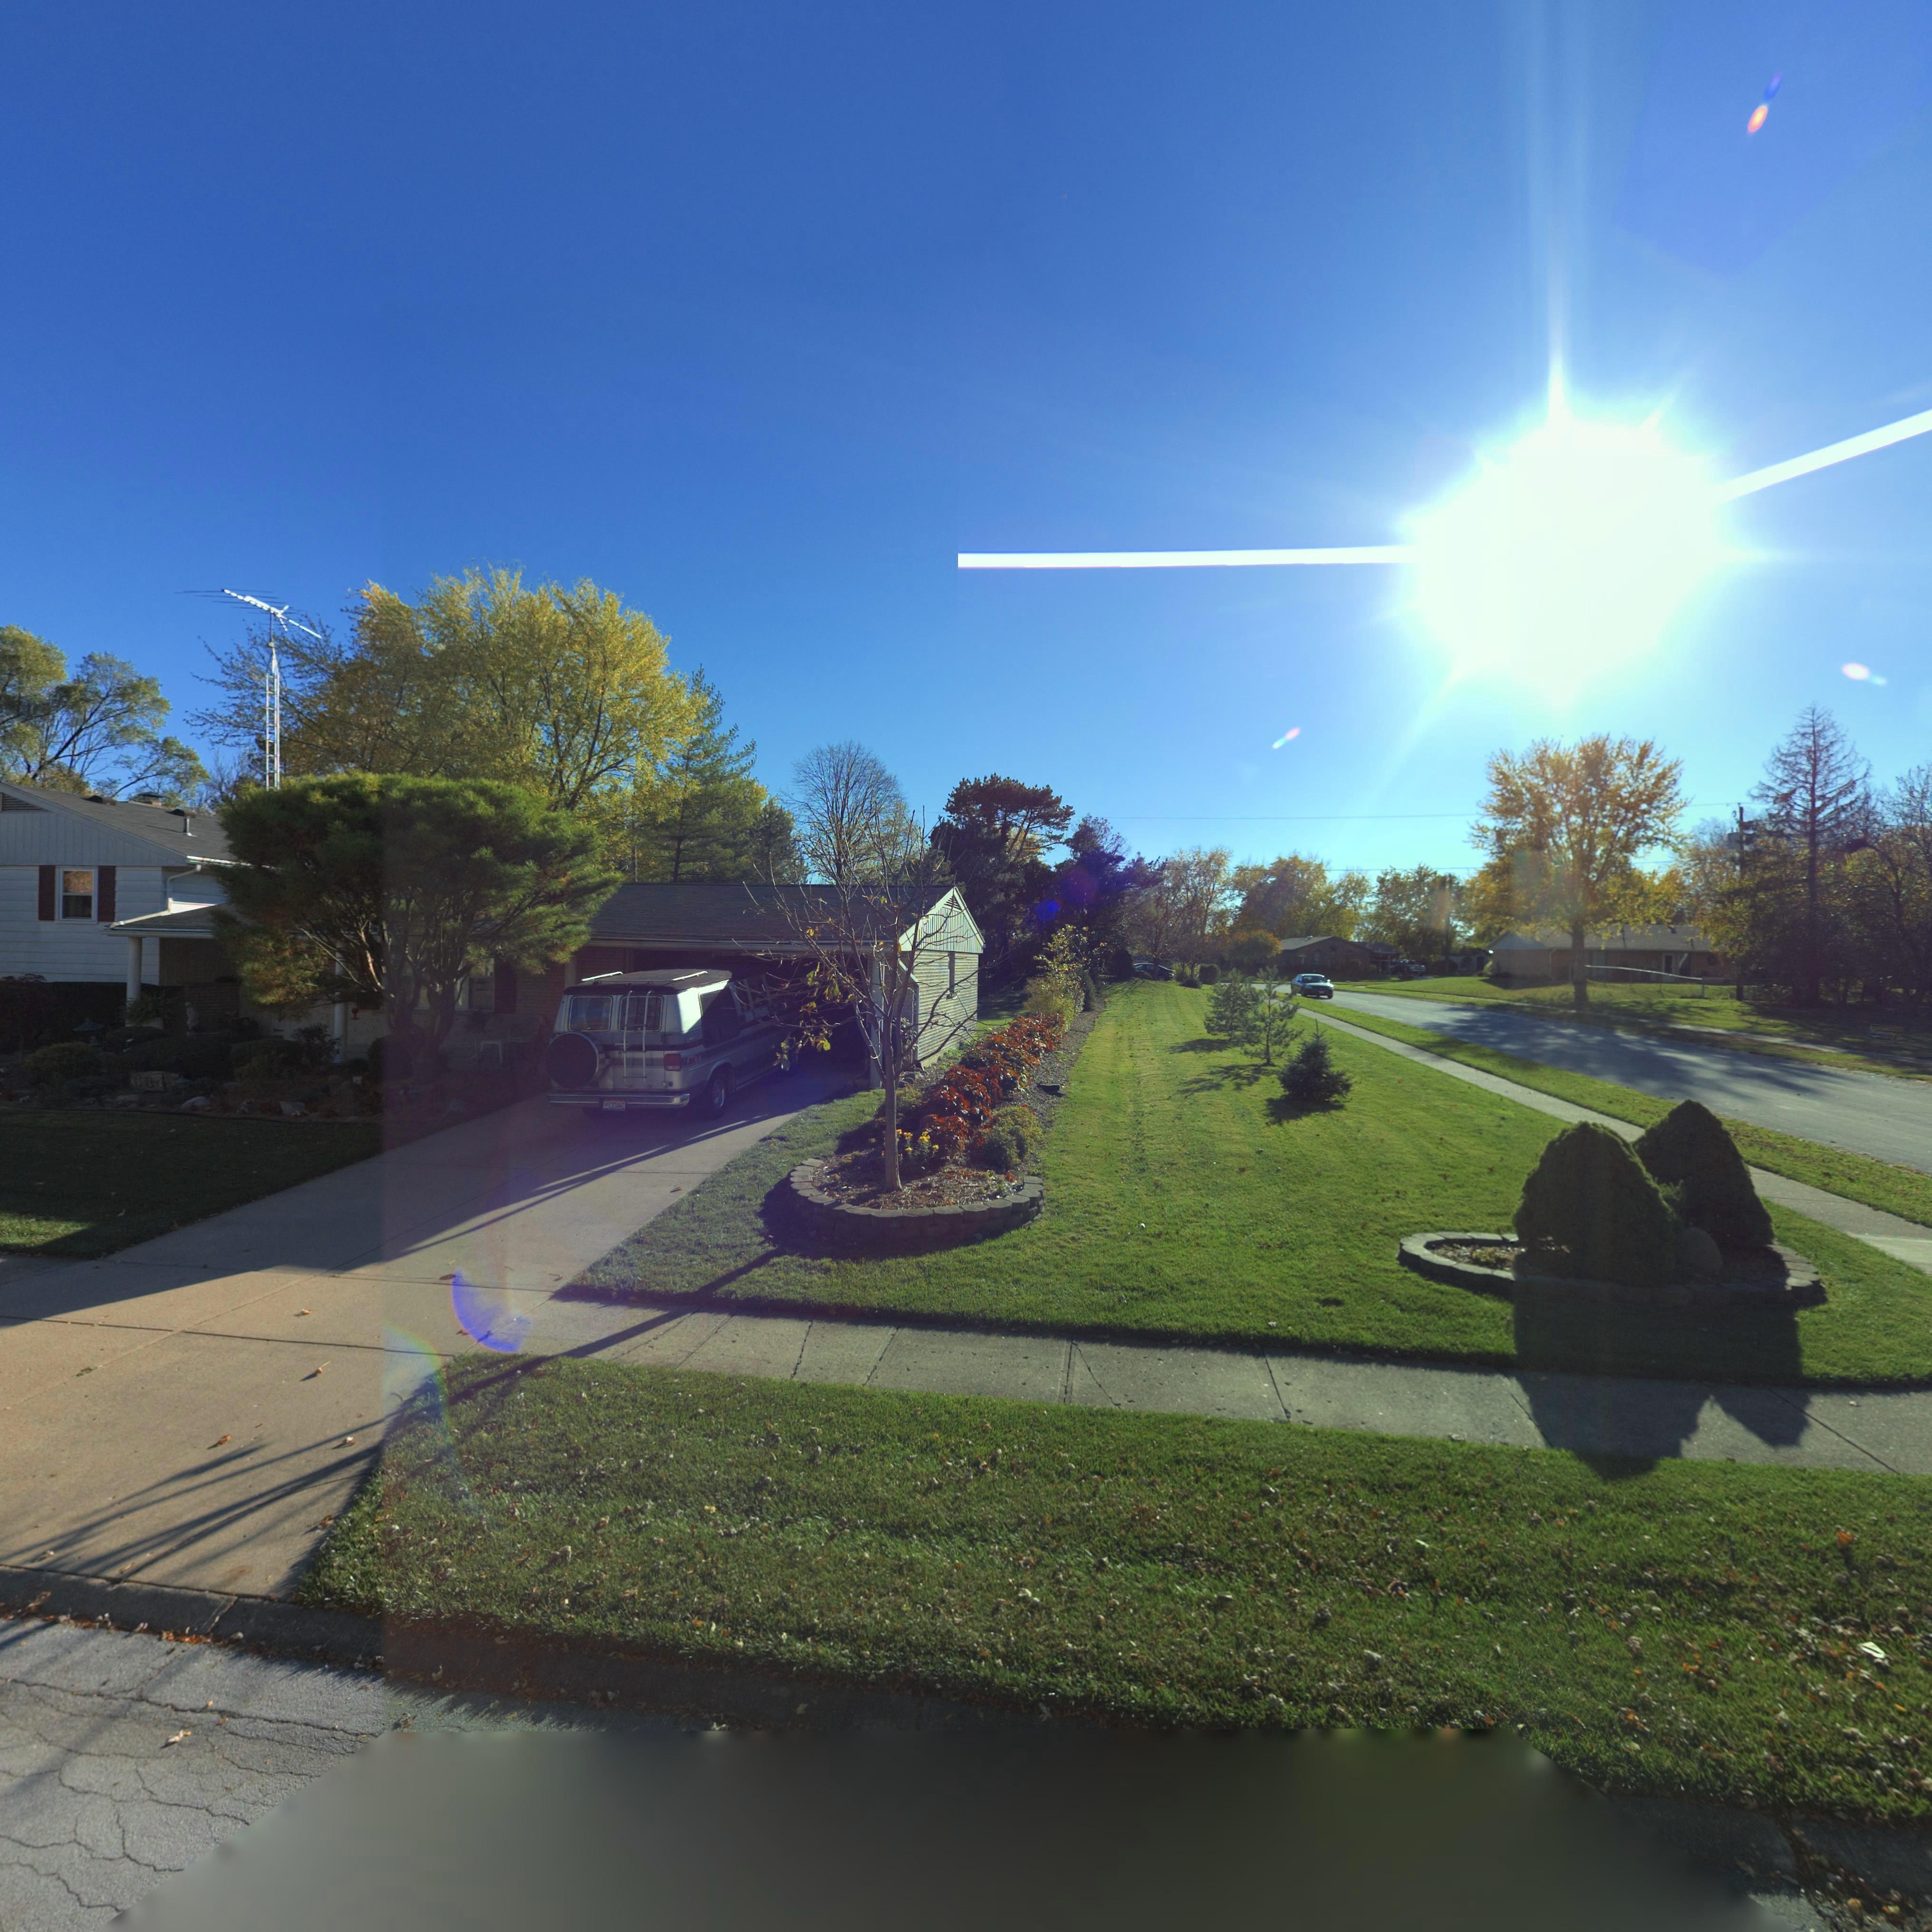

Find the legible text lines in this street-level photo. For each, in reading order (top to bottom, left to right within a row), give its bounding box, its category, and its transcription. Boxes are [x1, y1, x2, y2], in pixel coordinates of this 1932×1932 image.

[130, 1075, 174, 1089] StreetNumber: 68**